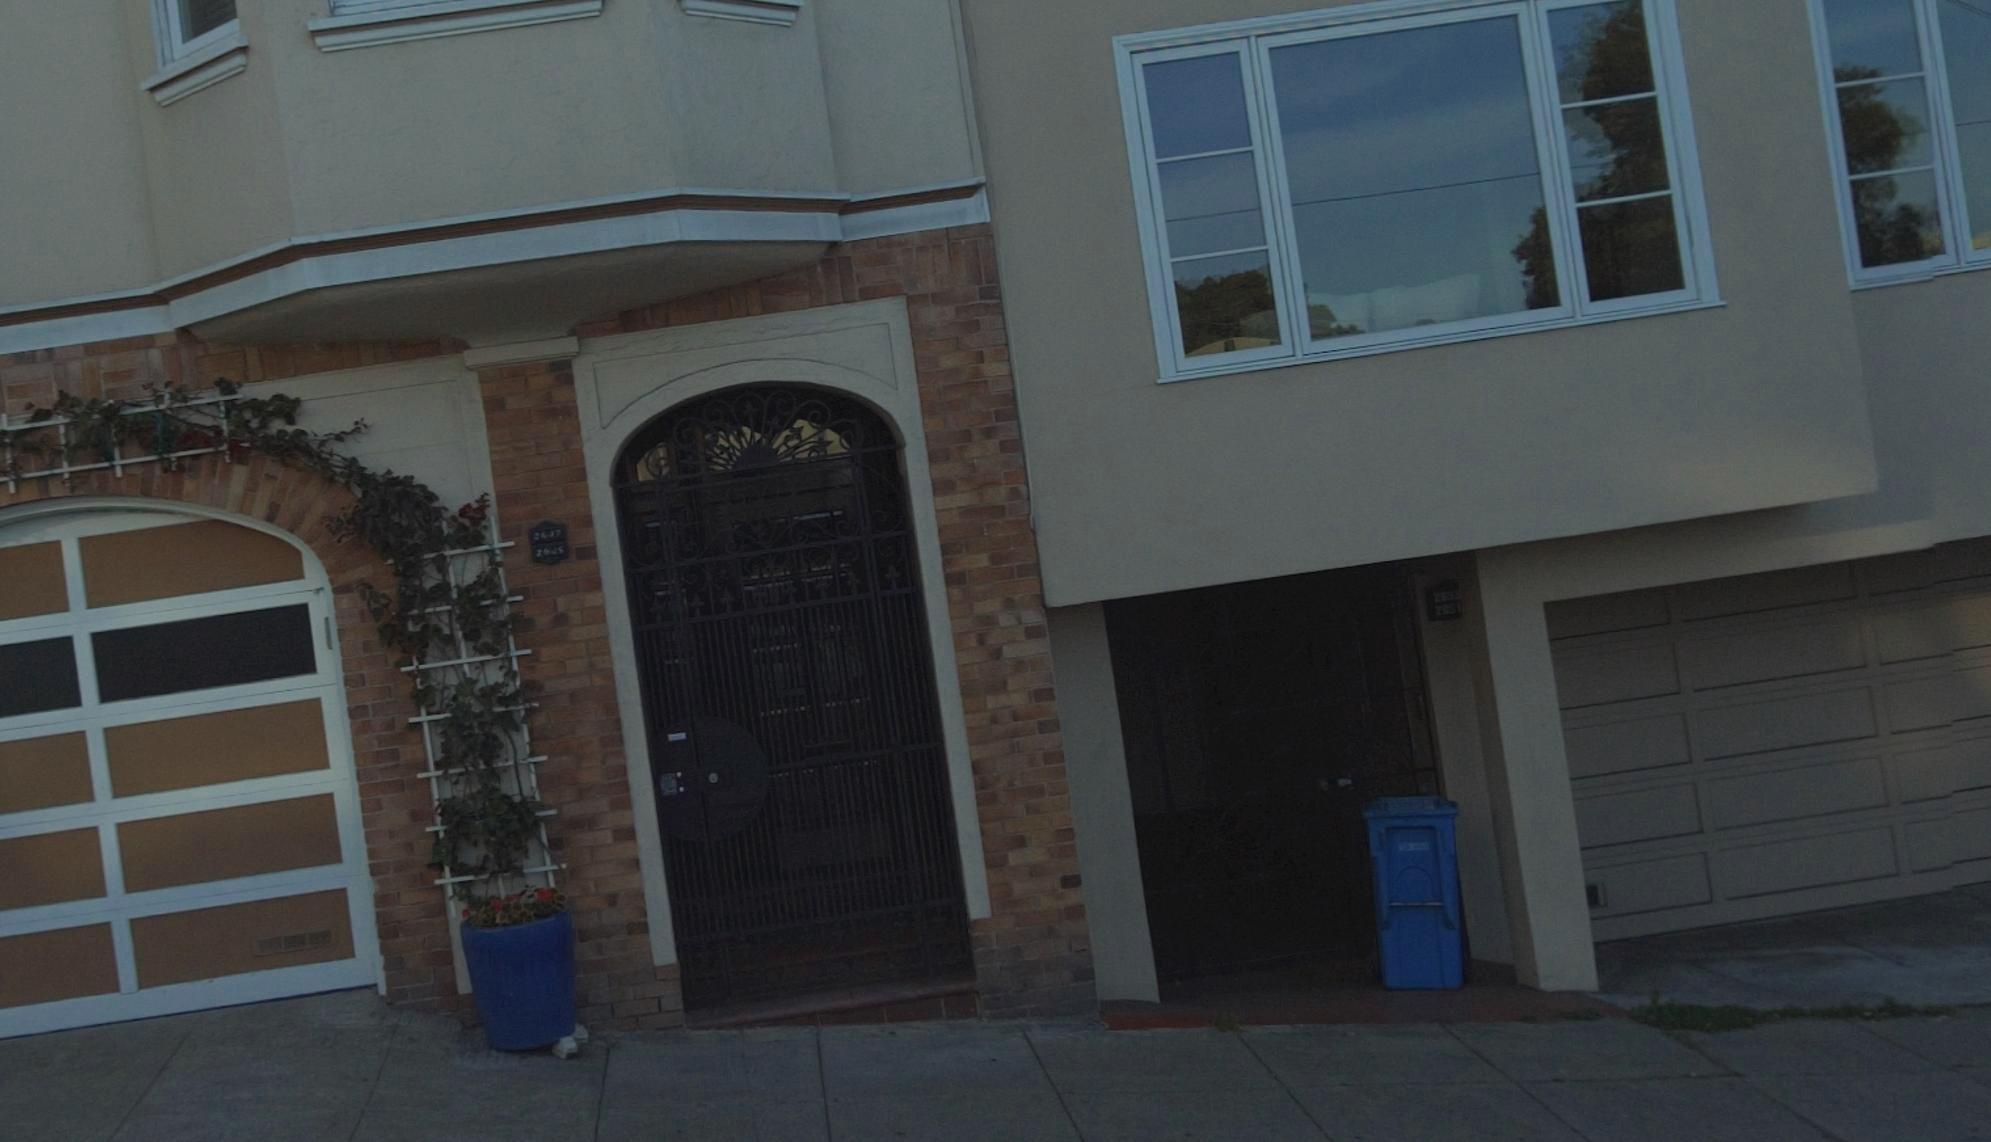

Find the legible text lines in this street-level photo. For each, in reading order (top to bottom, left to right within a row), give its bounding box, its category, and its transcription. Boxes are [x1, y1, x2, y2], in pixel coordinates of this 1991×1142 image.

[531, 526, 562, 542] StreetNumber: 2647
[534, 542, 566, 559] StreetNumber: 2645
[1429, 586, 1464, 605] StreetNumber: 2653
[1432, 599, 1465, 619] StreetNumber: 2653